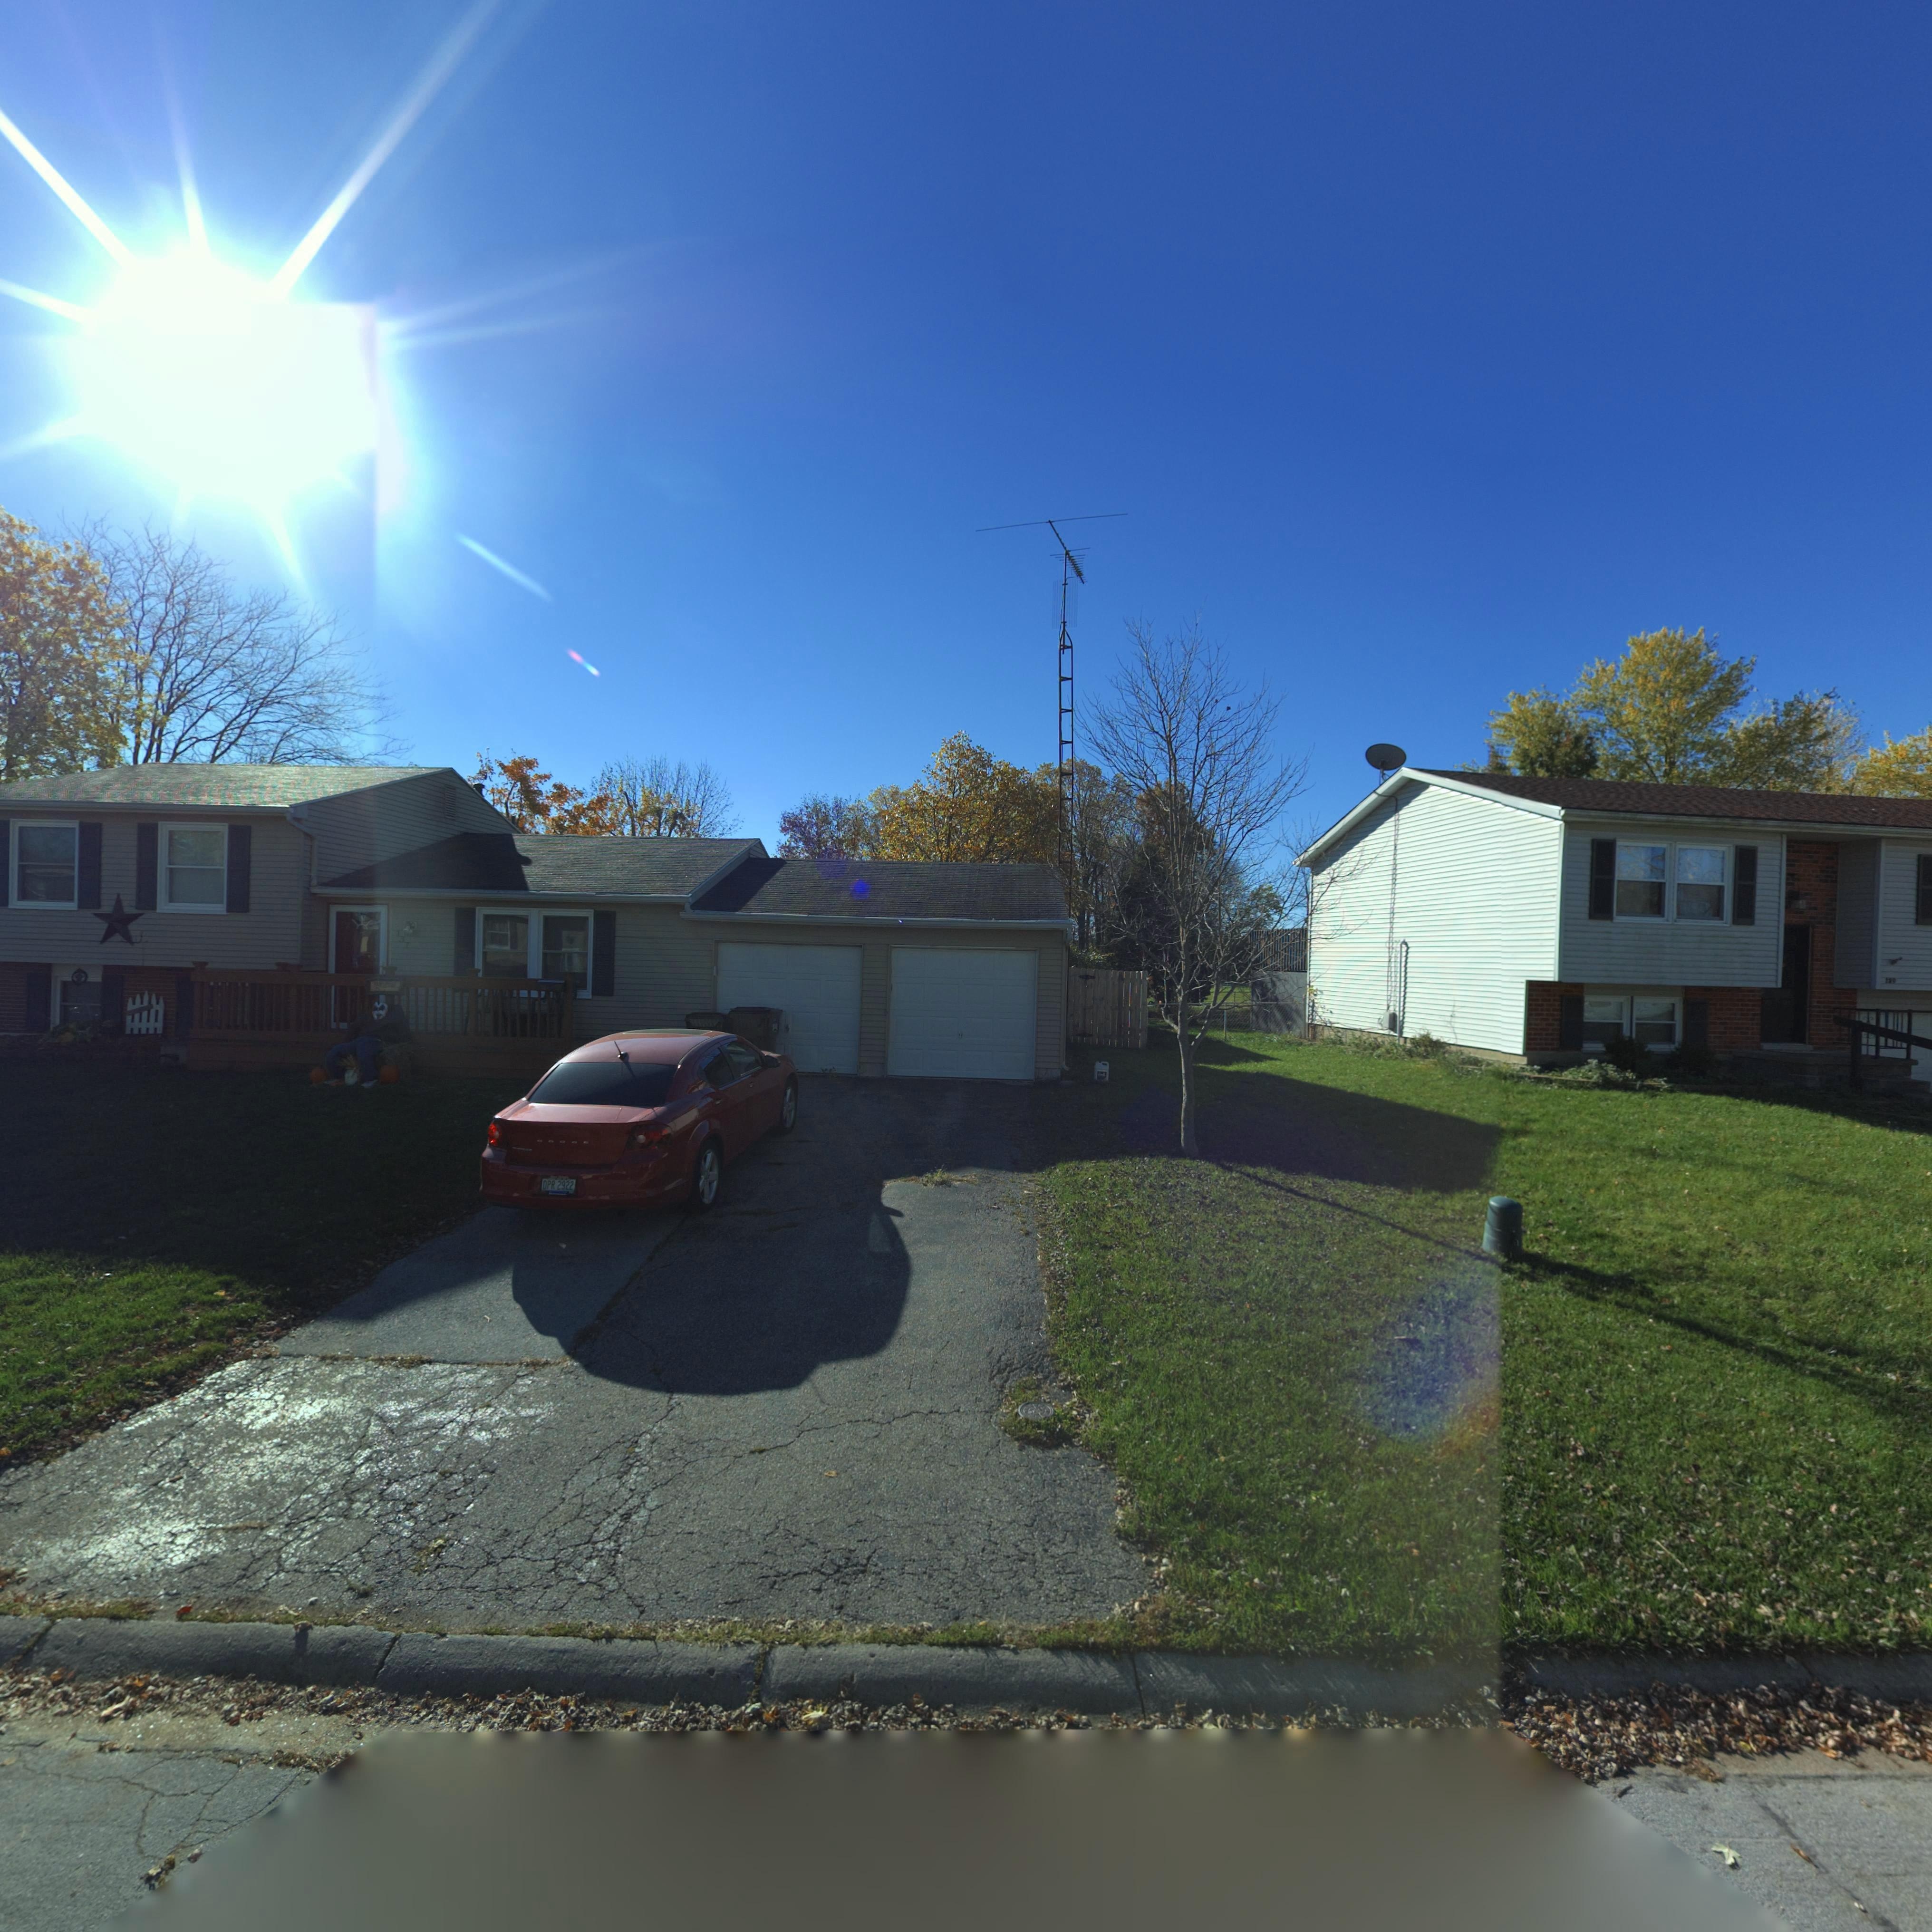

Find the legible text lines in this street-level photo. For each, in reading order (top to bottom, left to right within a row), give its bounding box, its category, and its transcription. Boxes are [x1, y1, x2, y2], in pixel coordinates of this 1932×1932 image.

[396, 929, 410, 949] StreetNumber: 137
[1884, 976, 1897, 984] StreetNumber: 1*9